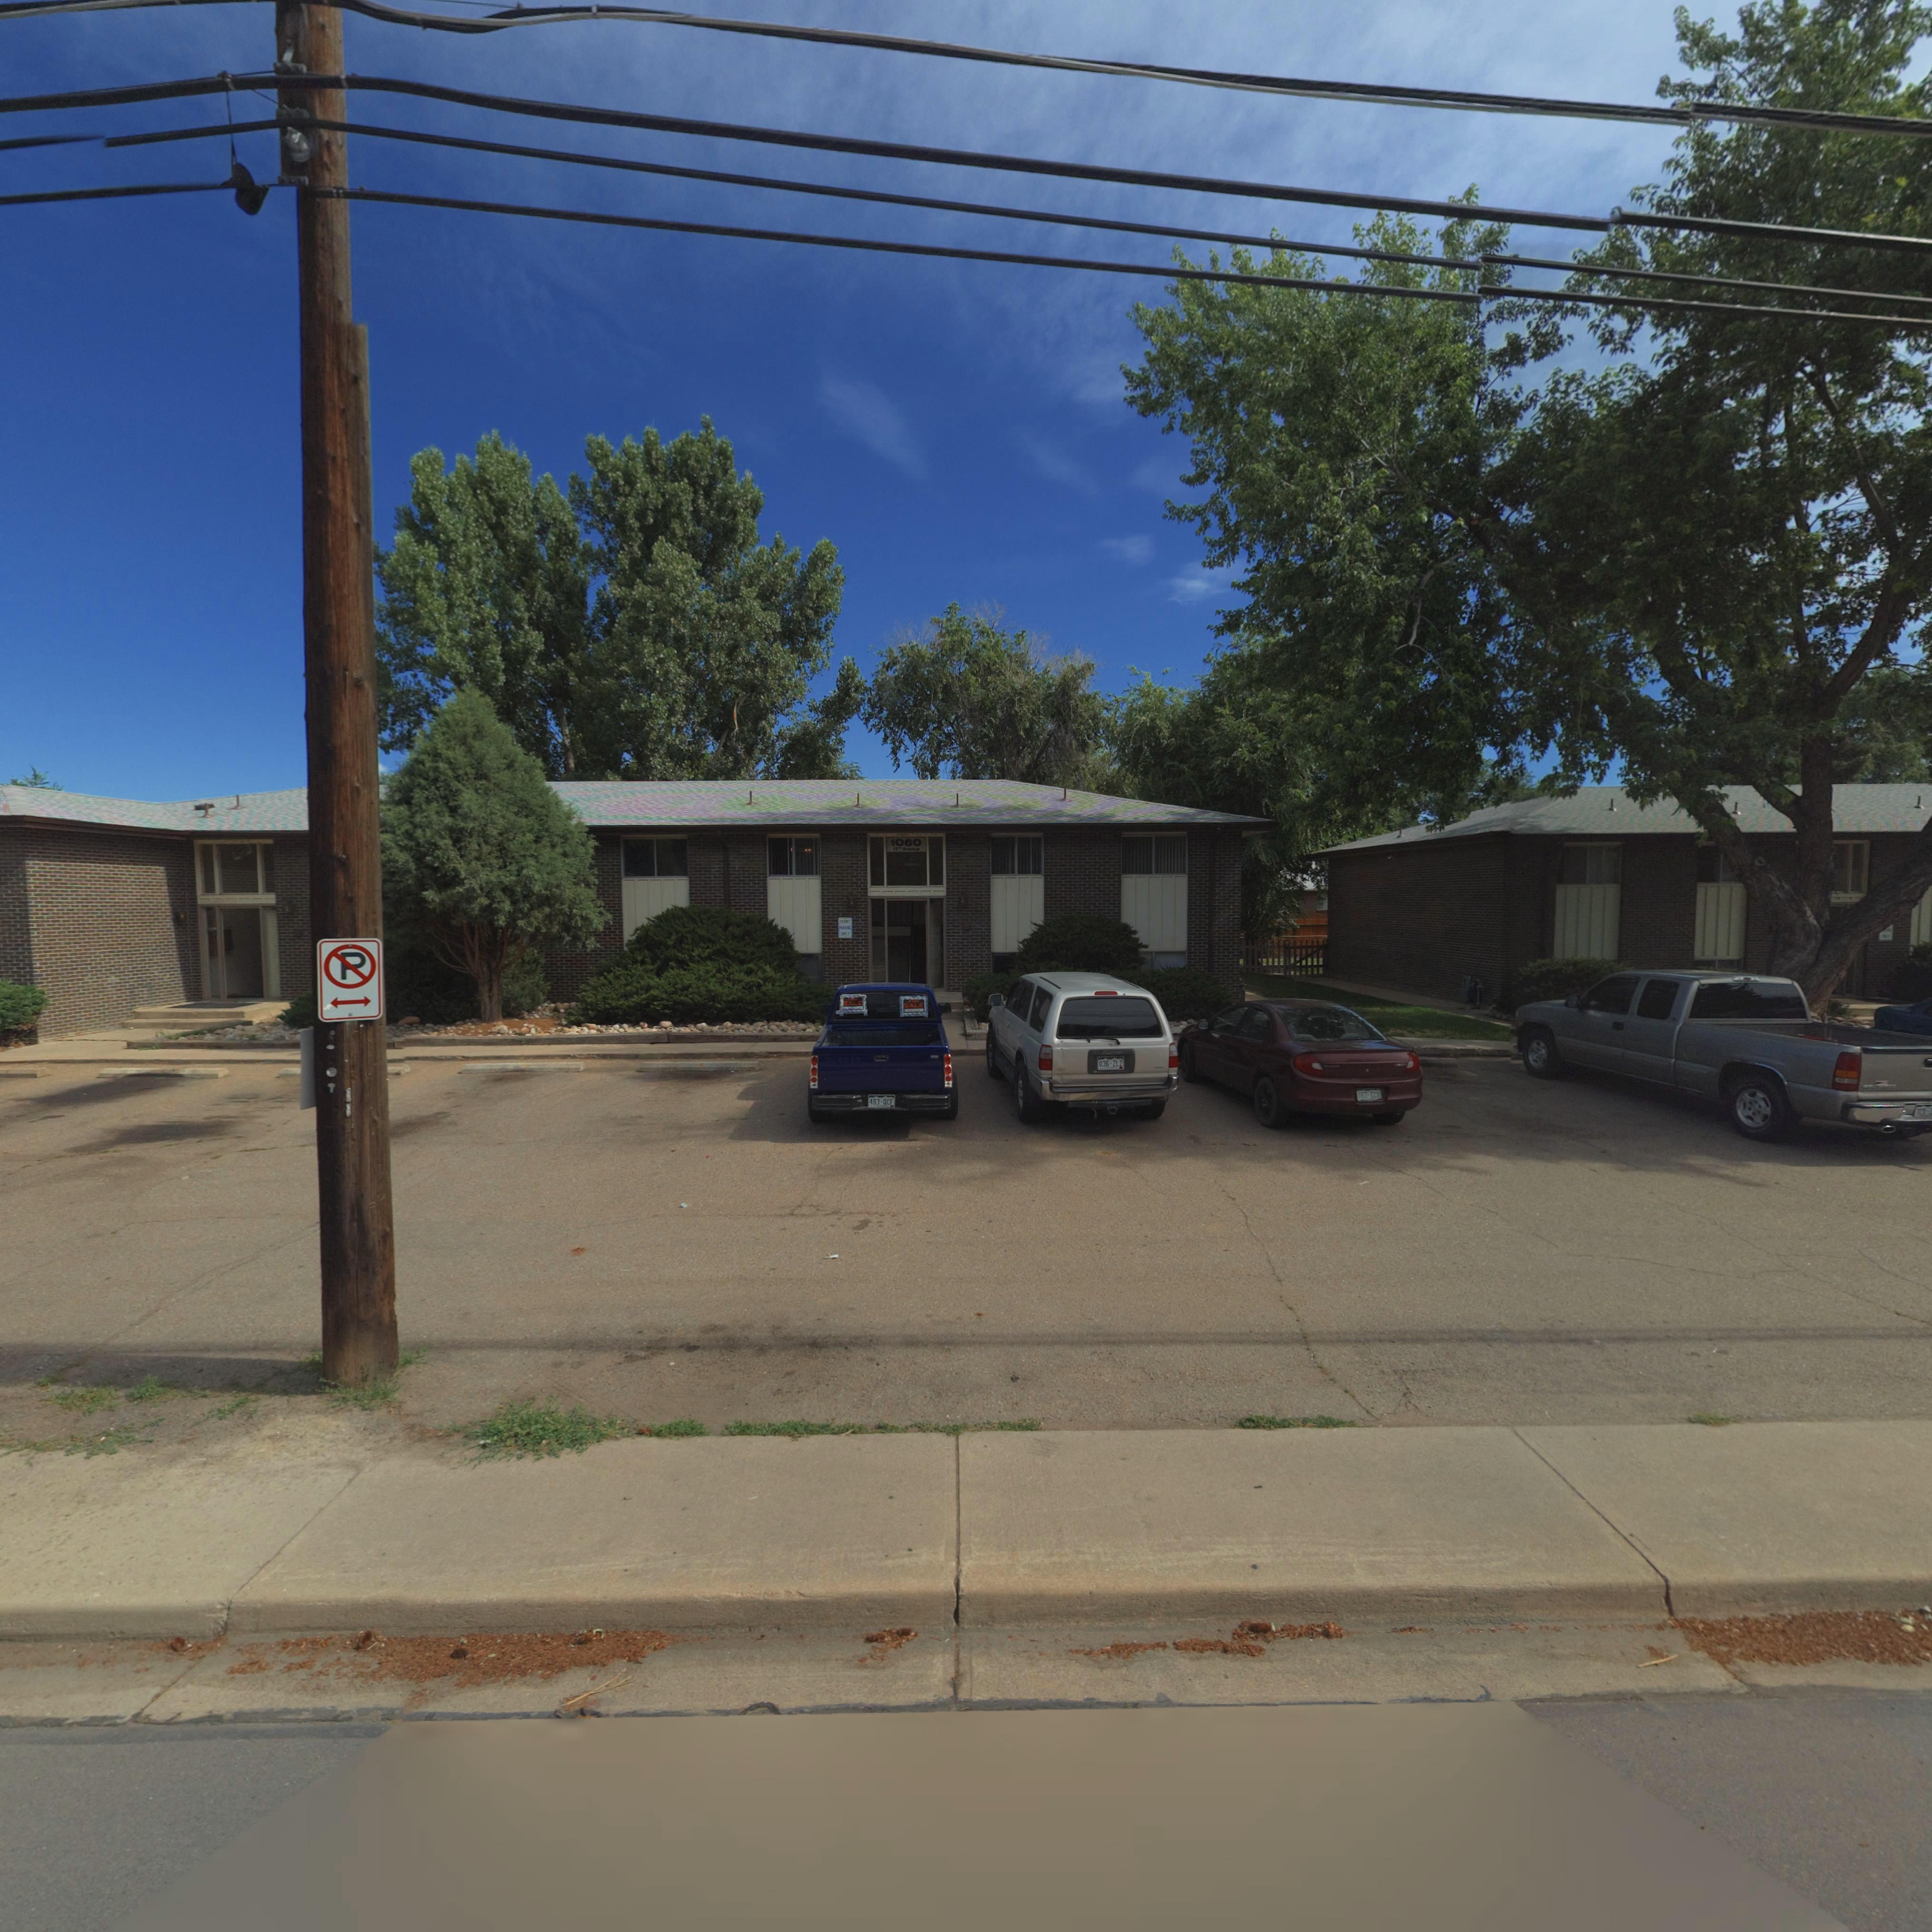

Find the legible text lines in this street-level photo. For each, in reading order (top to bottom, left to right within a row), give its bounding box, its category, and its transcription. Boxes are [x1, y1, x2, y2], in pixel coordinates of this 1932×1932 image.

[890, 838, 922, 847] StreetNumber: 1060
[892, 846, 920, 851] StreetName: 17TH Avenue